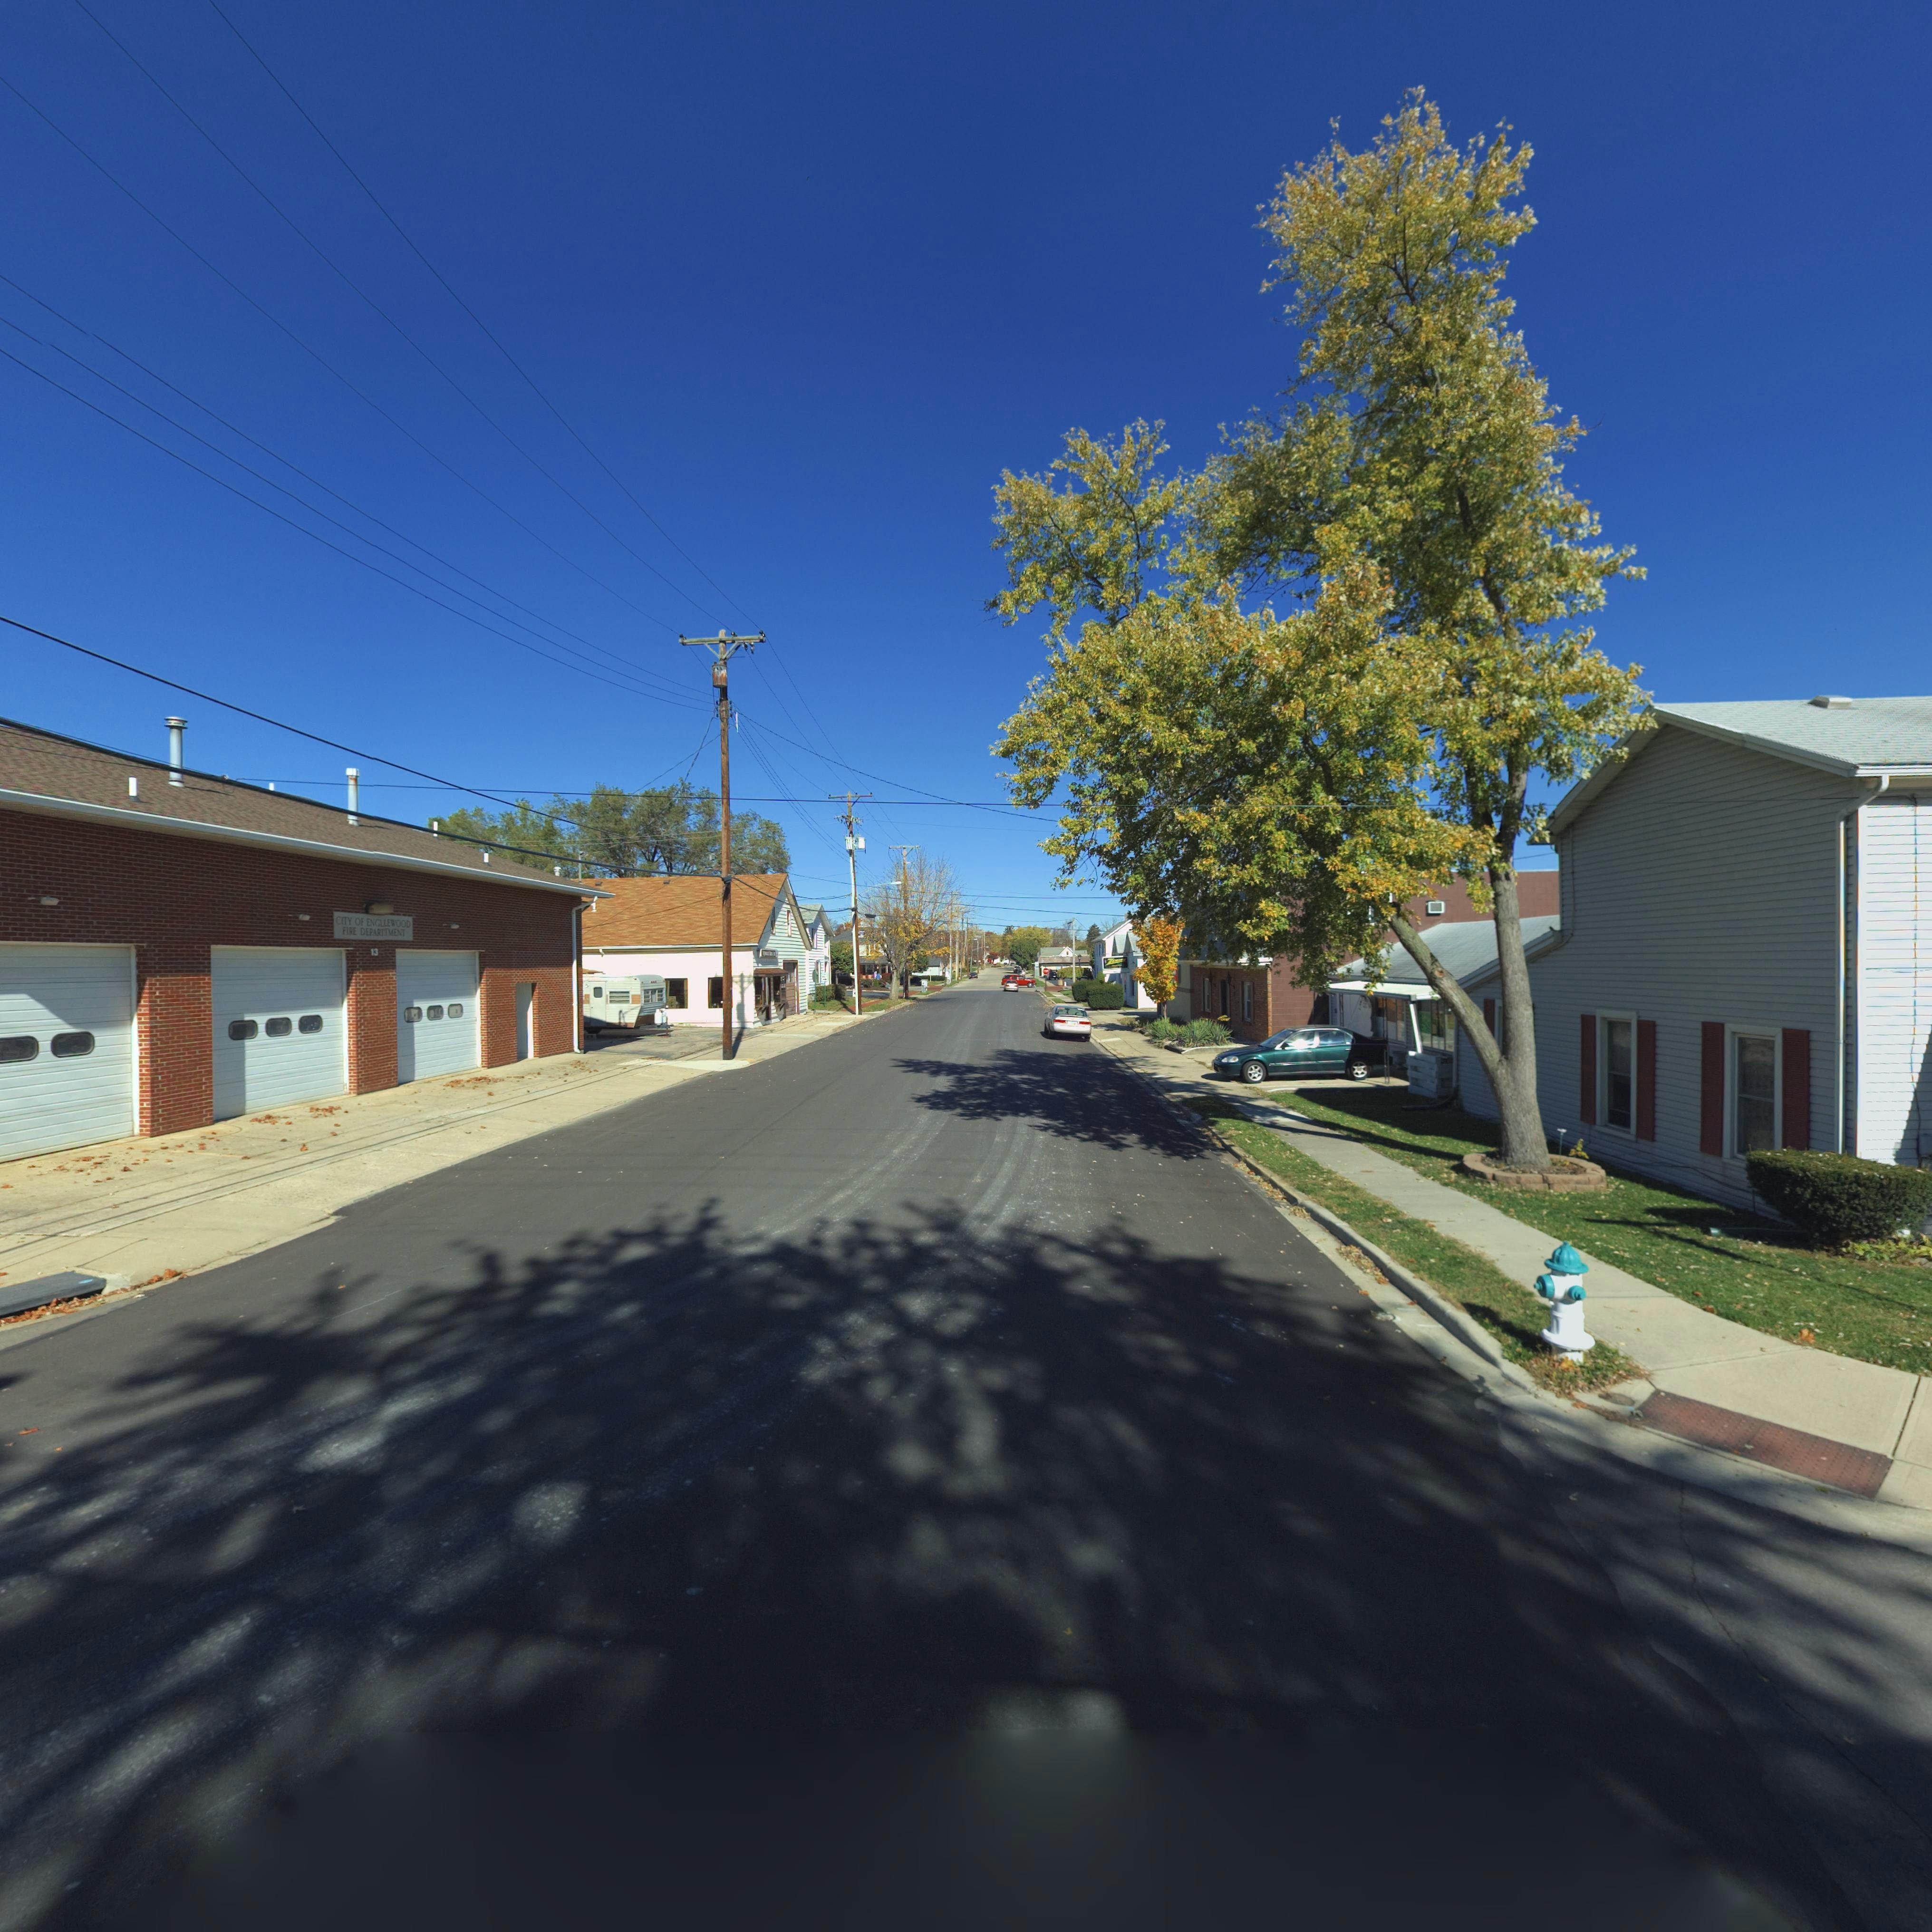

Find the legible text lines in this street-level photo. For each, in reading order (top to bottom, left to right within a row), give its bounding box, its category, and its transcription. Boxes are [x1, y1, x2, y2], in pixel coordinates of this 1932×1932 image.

[335, 915, 412, 928] BusinessName: CITY OF ENGLEWOOD
[341, 926, 406, 937] BusinessName: FIRE DEPARTMENT
[370, 947, 378, 956] StreetNumber: 13